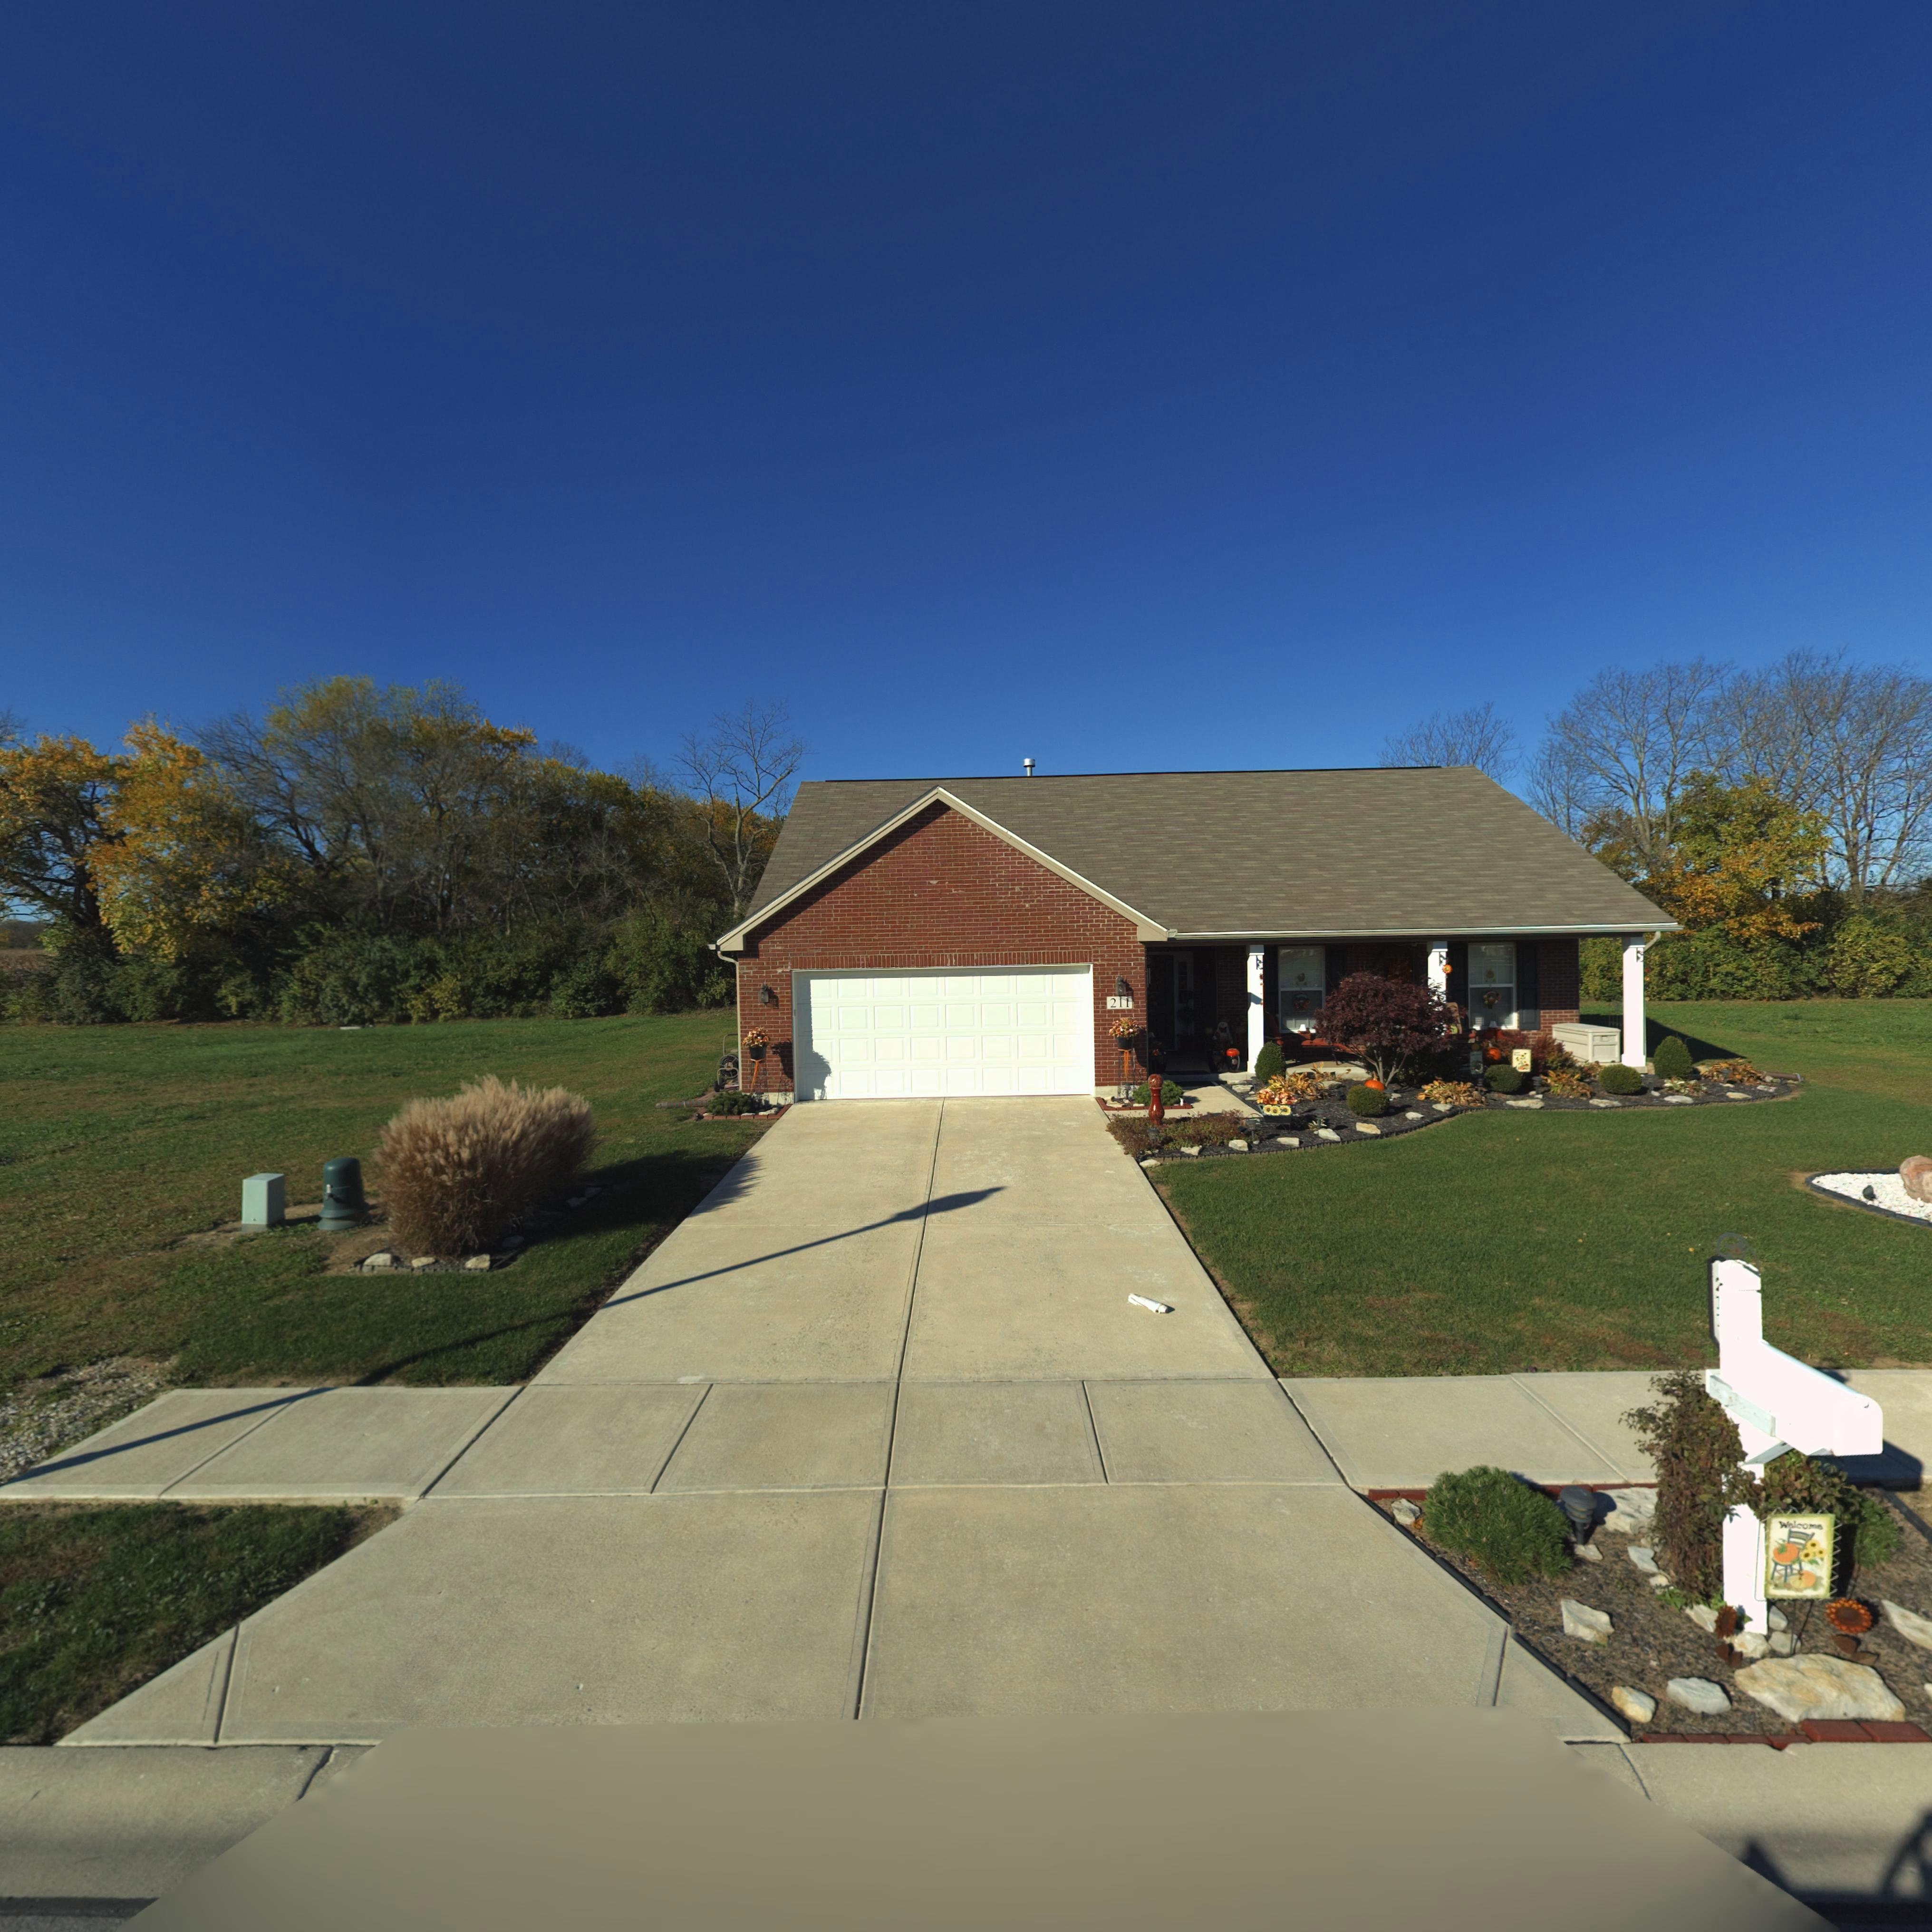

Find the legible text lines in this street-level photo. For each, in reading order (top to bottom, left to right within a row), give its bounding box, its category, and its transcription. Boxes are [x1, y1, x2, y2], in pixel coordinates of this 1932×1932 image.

[1110, 997, 1130, 1008] StreetNumber: 211